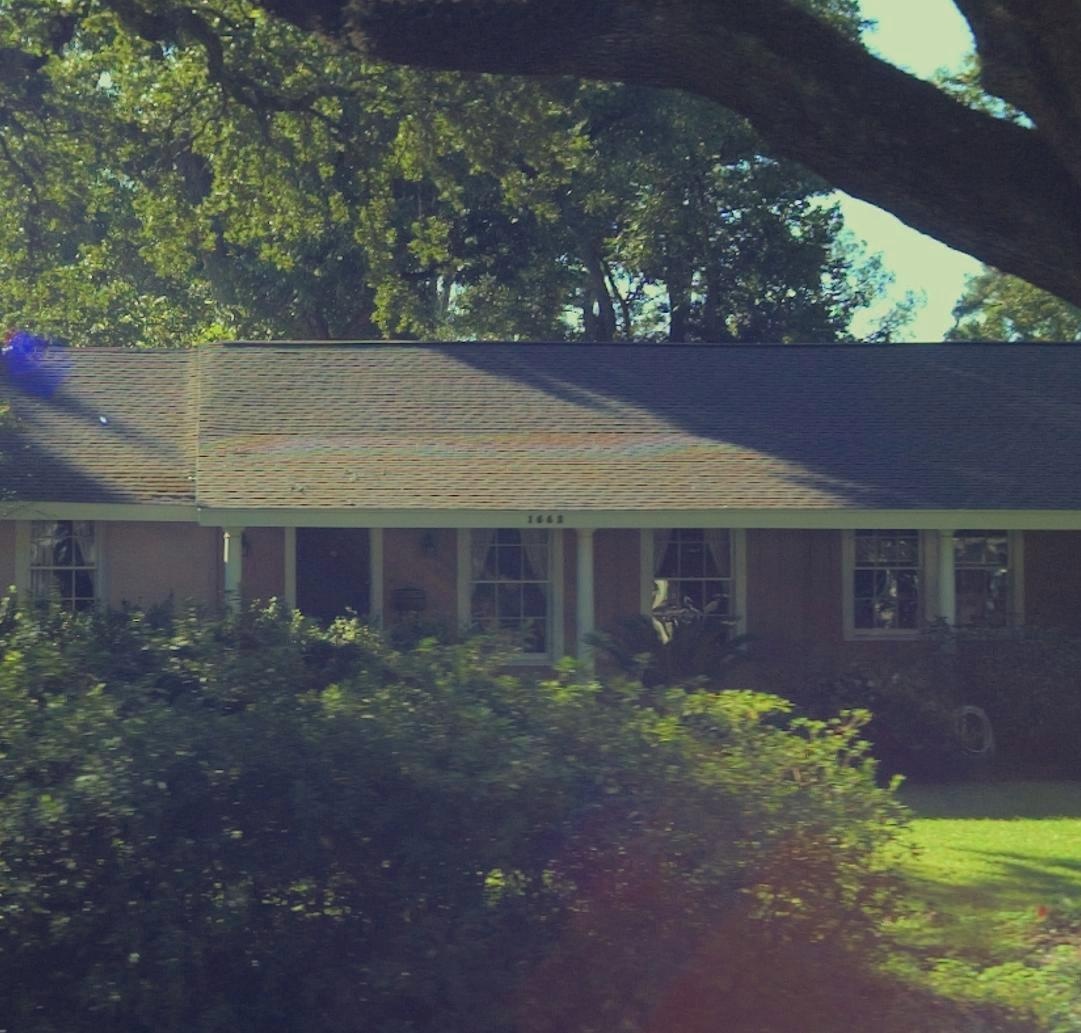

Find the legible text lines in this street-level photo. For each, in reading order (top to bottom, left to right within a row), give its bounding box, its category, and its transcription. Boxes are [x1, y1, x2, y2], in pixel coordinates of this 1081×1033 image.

[526, 512, 566, 526] StreetNumber: 1662